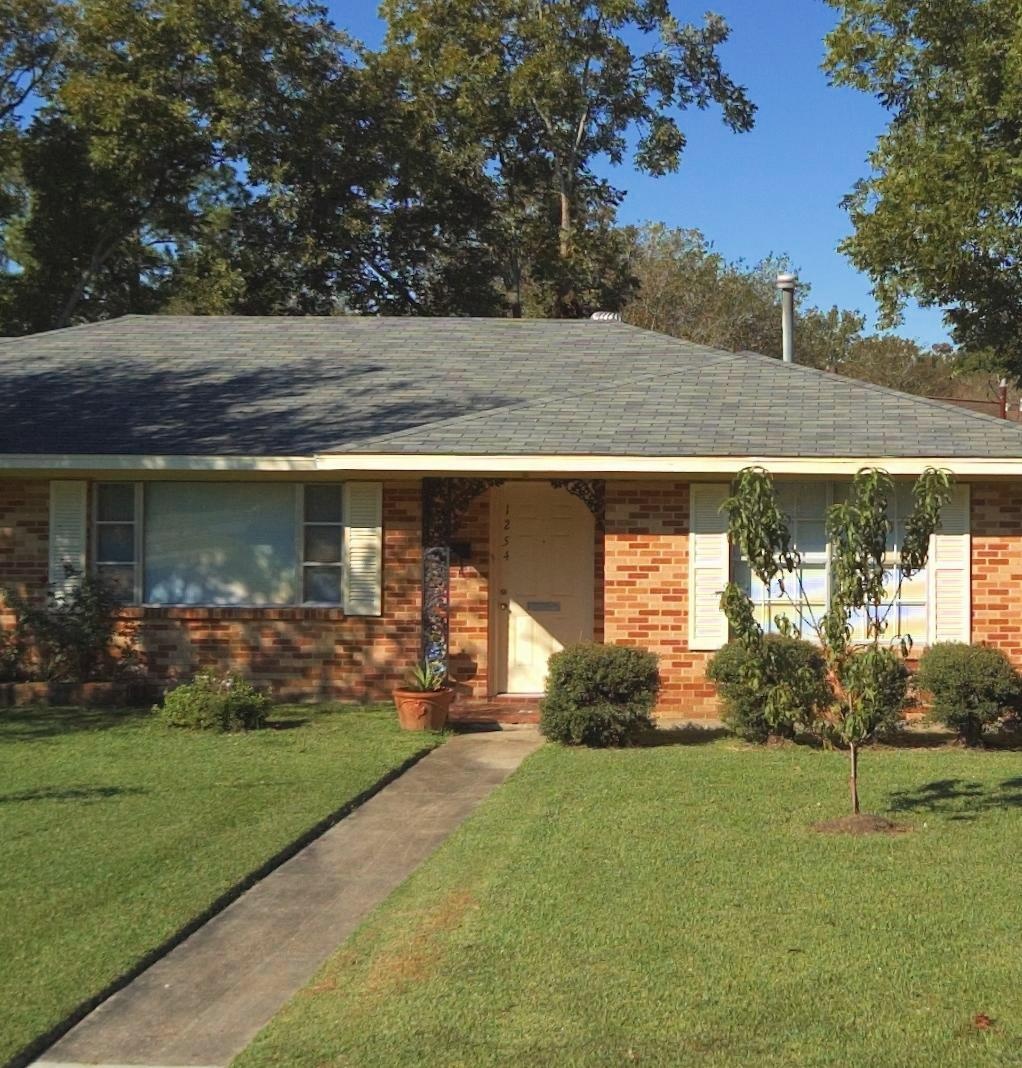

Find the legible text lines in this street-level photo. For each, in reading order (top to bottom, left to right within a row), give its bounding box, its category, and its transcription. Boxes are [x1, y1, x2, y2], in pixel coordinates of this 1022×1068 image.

[499, 500, 513, 563] StreetNumber: 1254